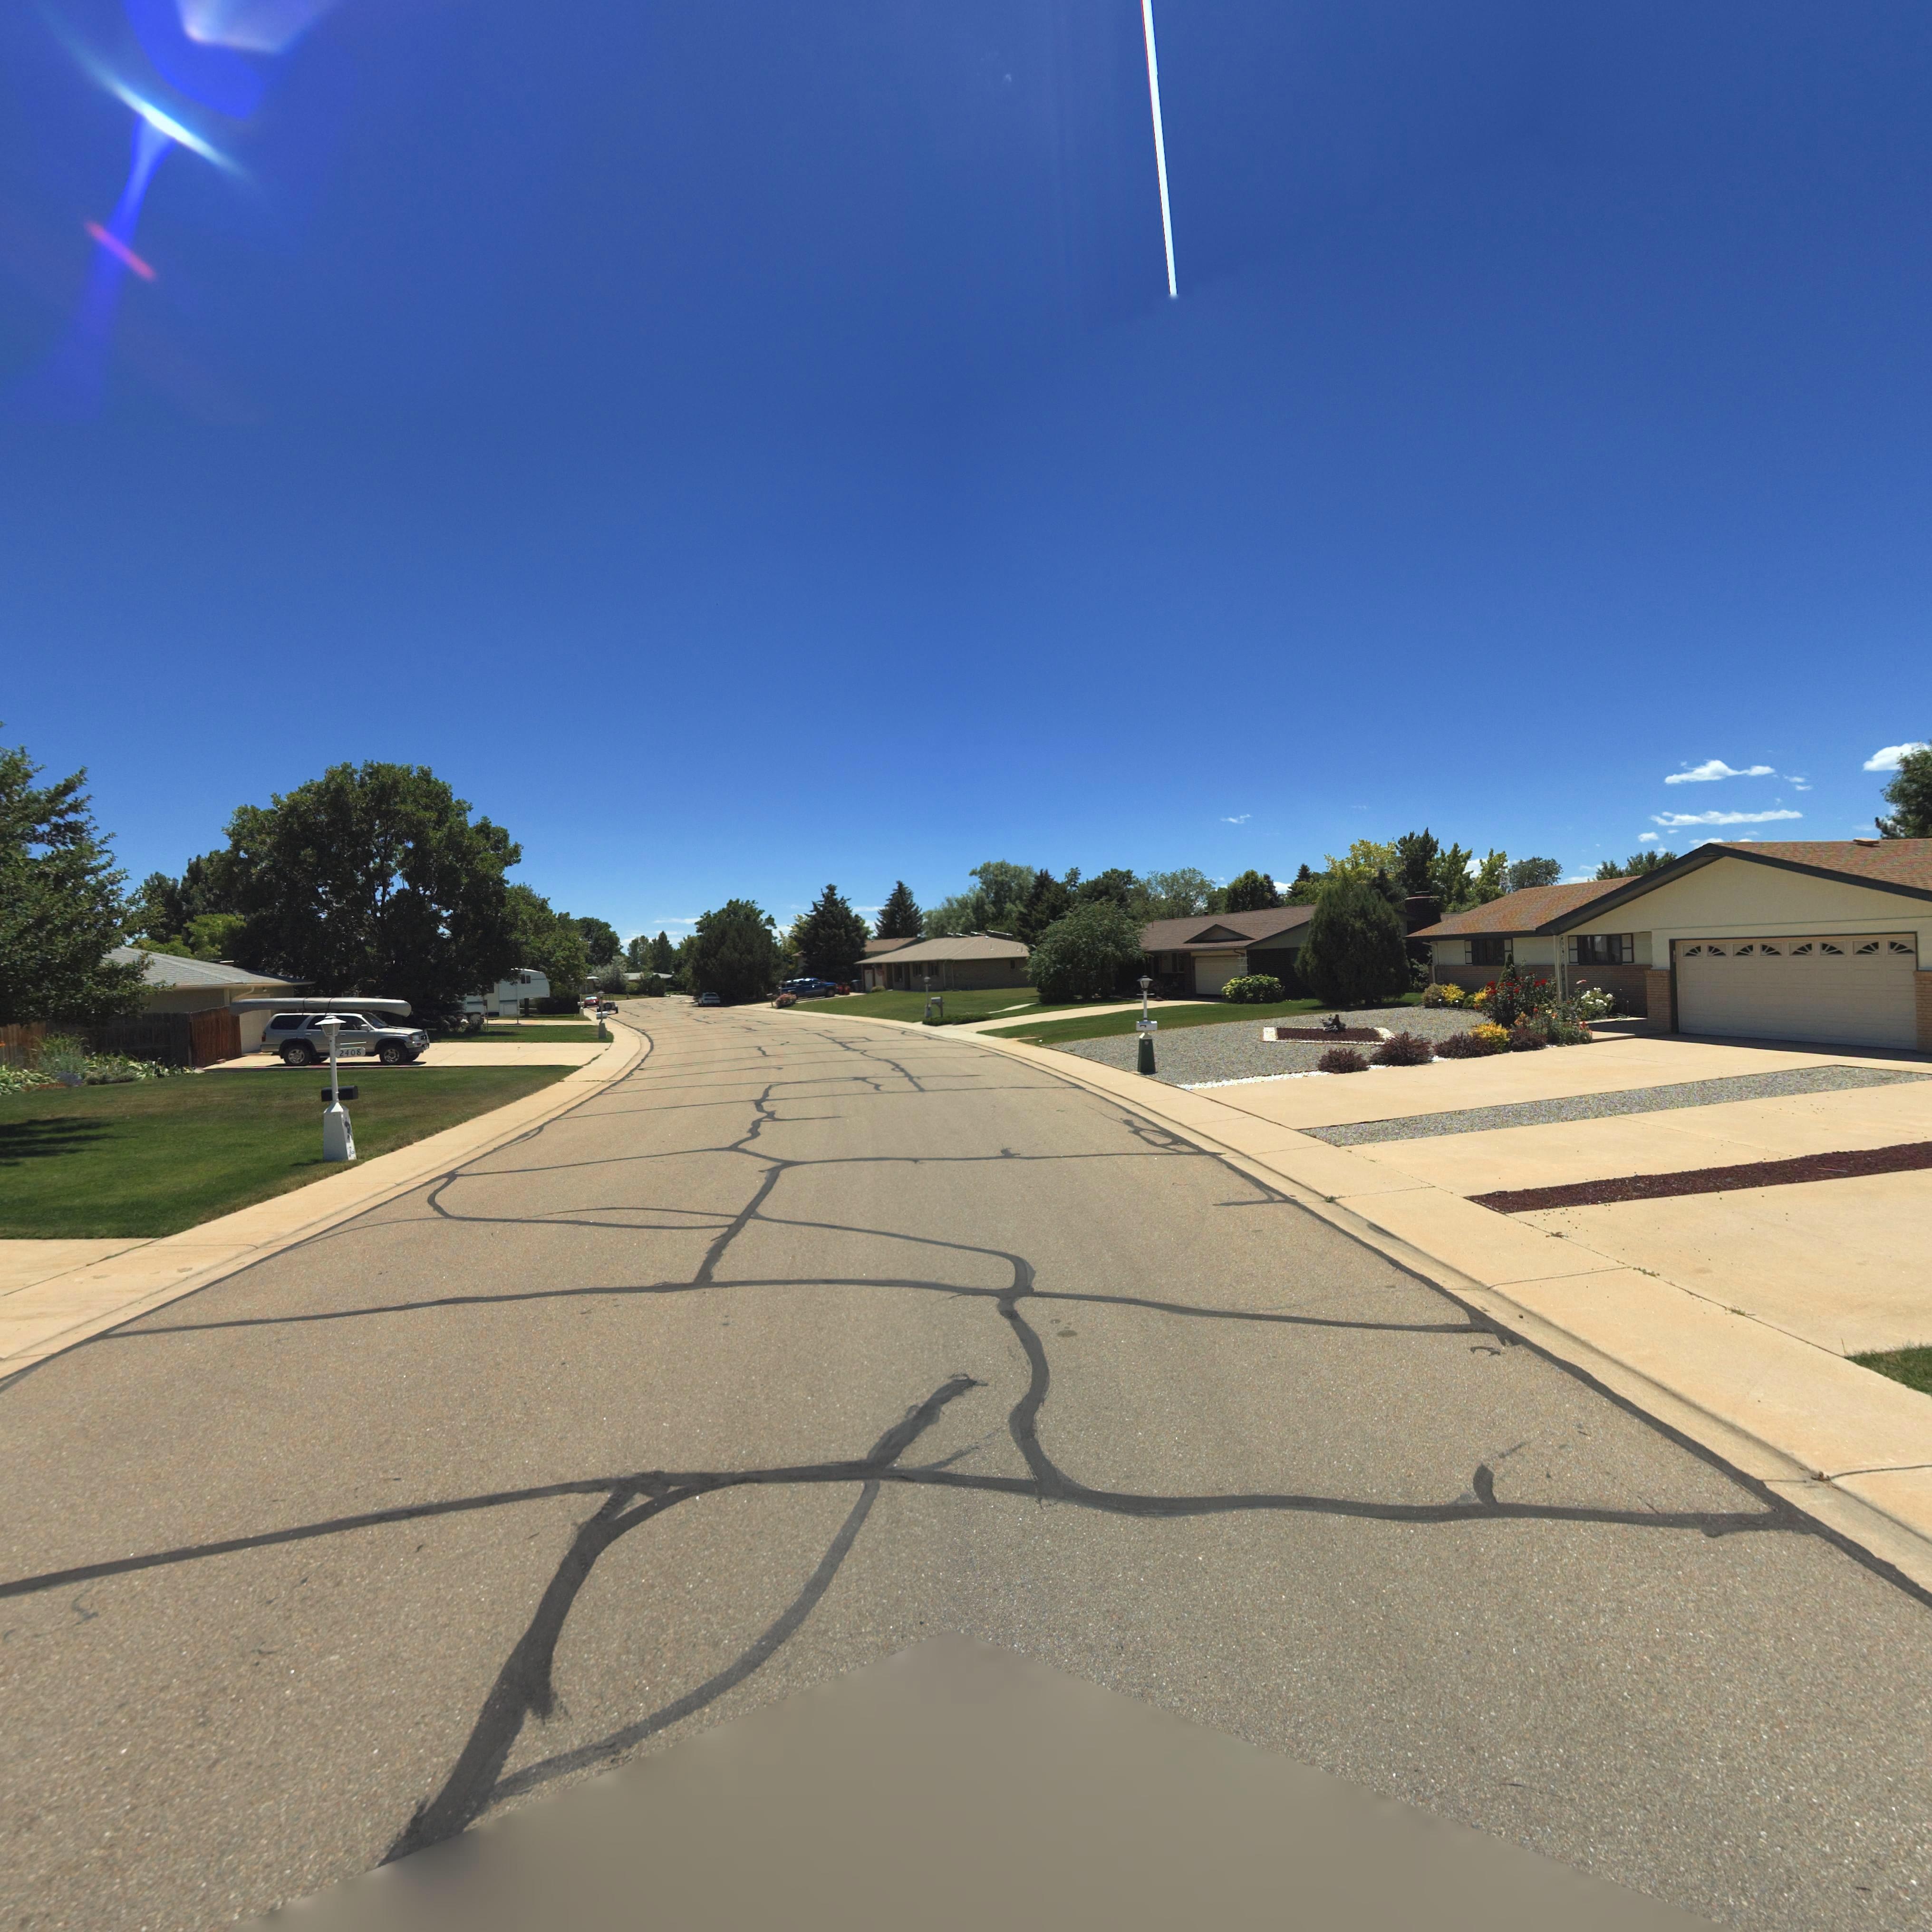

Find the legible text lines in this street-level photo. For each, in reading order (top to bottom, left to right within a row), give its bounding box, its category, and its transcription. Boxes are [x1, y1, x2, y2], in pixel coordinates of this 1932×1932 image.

[339, 1048, 361, 1057] StreetNumber: 2408